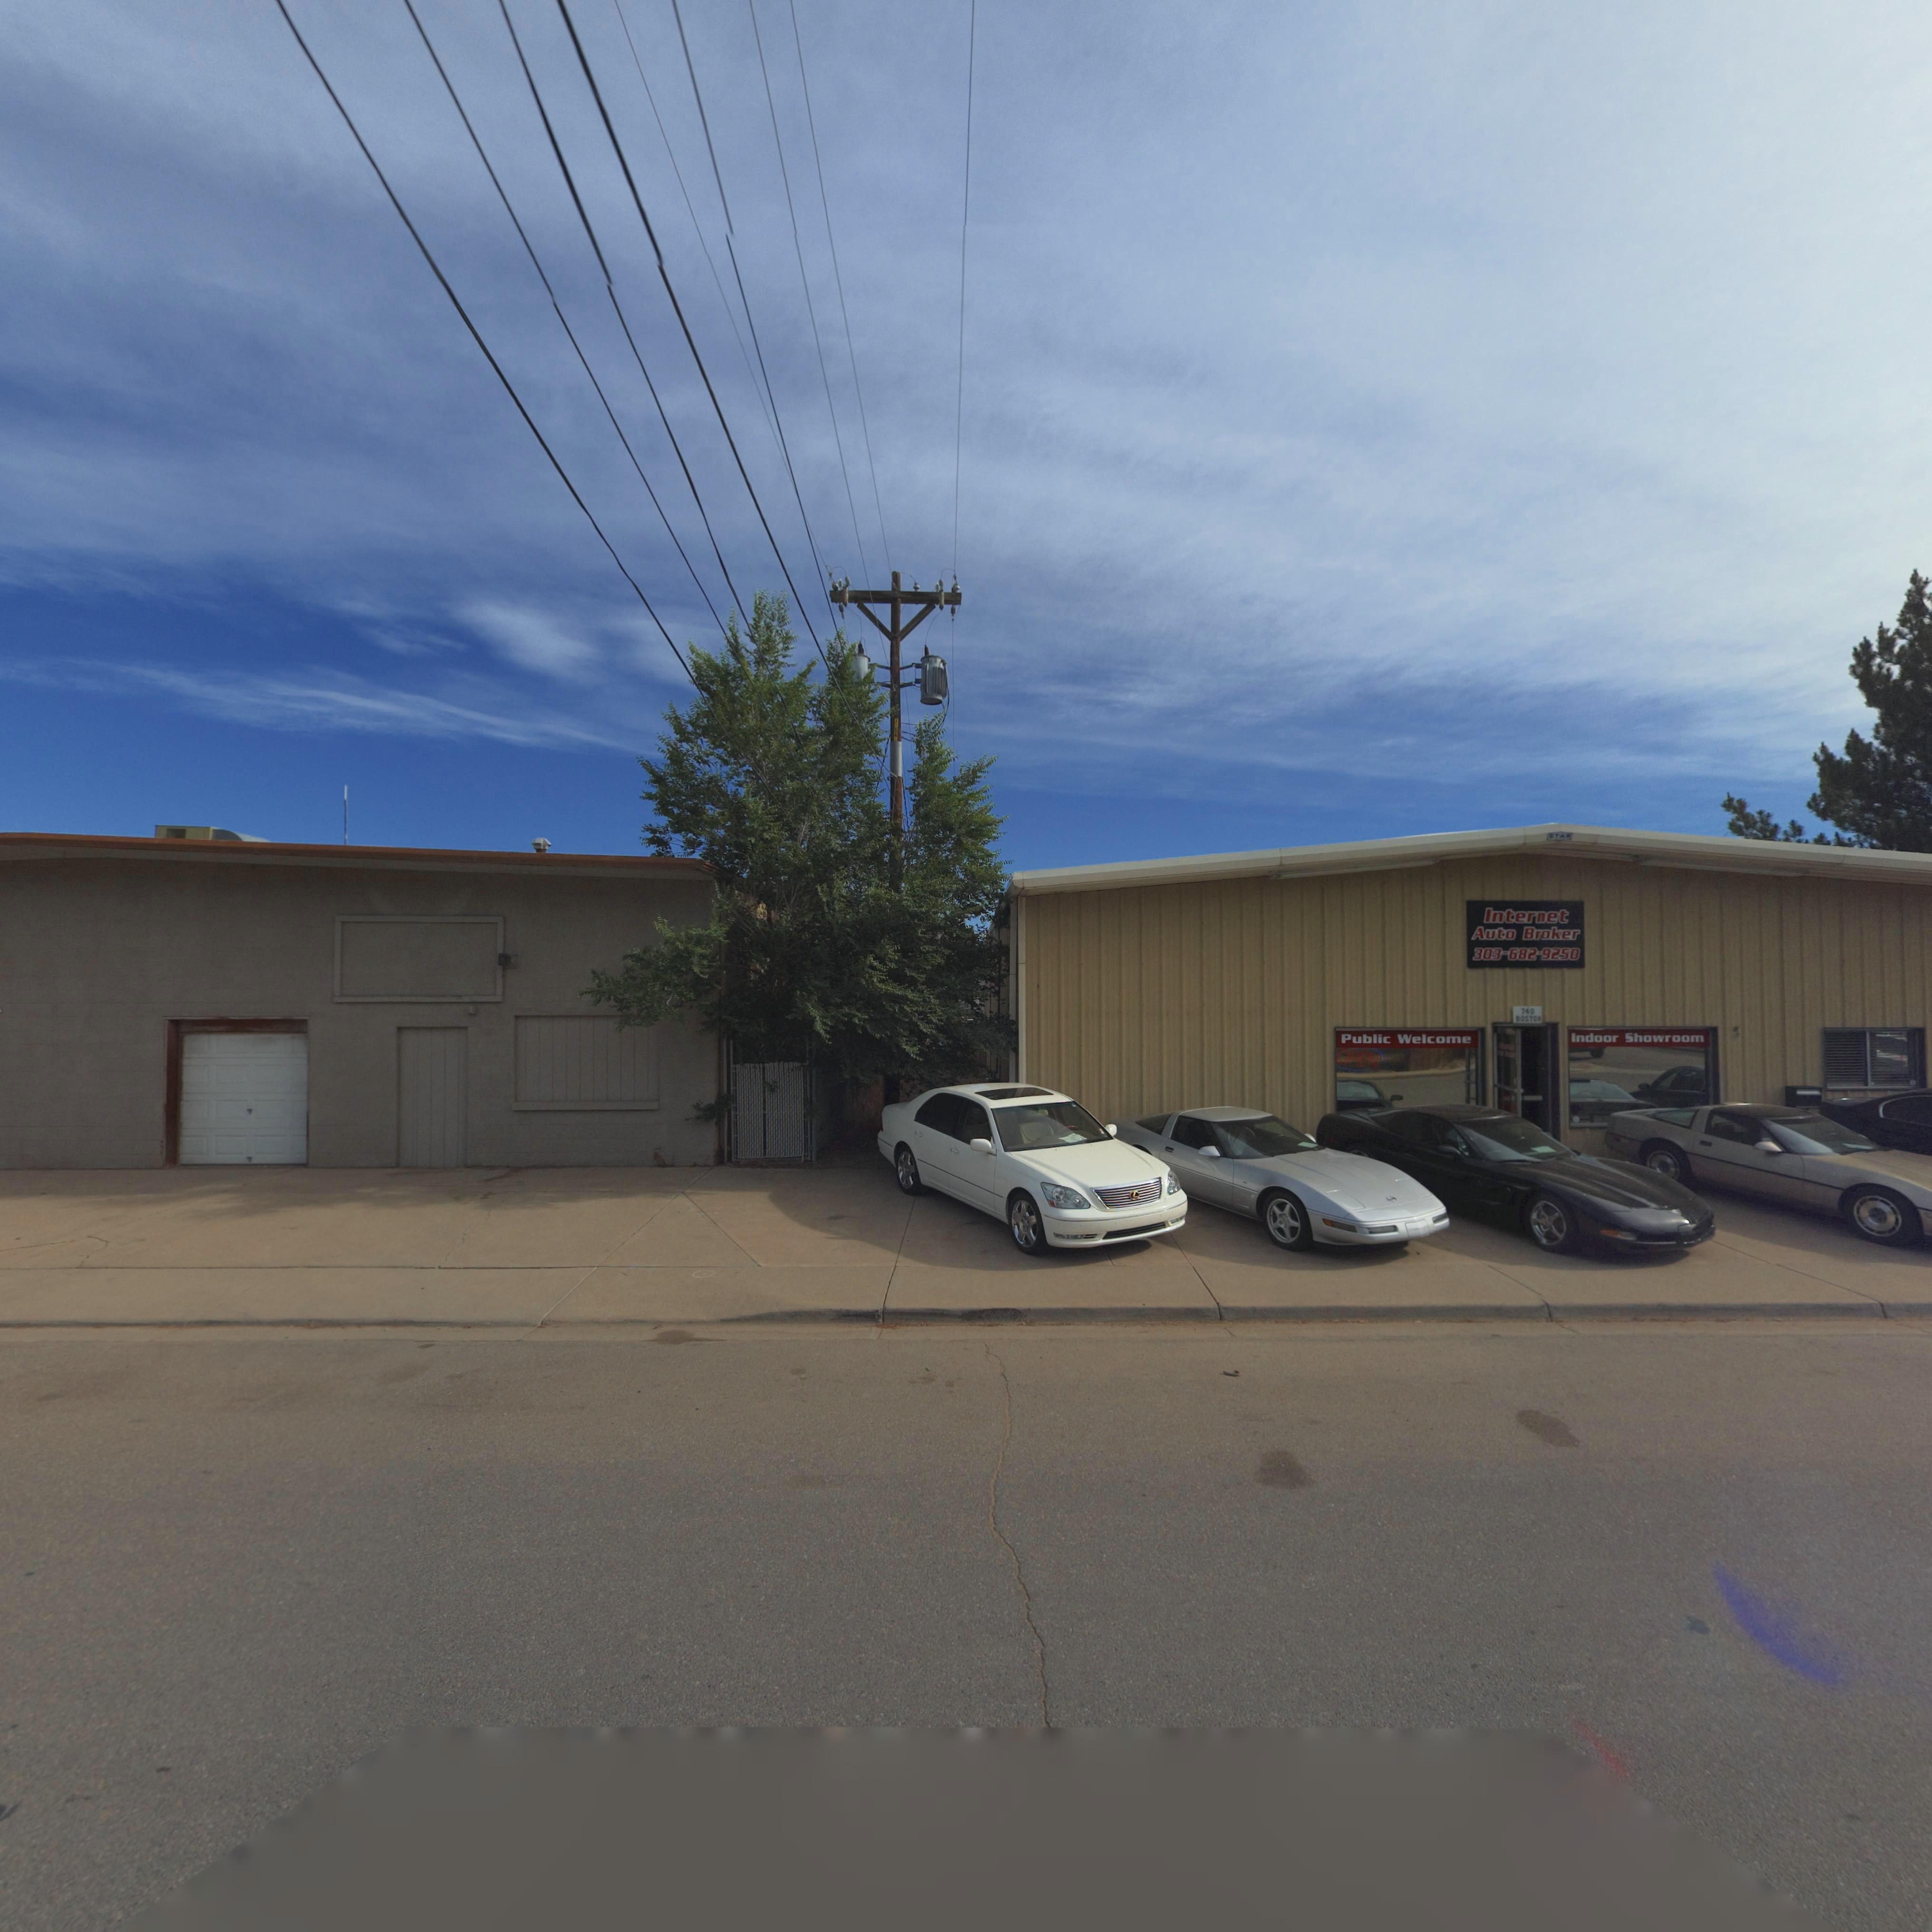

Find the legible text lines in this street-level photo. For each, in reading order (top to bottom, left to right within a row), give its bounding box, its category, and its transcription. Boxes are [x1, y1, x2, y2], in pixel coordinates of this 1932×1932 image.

[1483, 907, 1569, 923] BusinessName: Internet
[1469, 925, 1581, 940] BusinessName: Auto Broker
[1520, 1007, 1535, 1014] StreetNumber: 740
[1516, 1015, 1541, 1022] StreetName: BOSTON